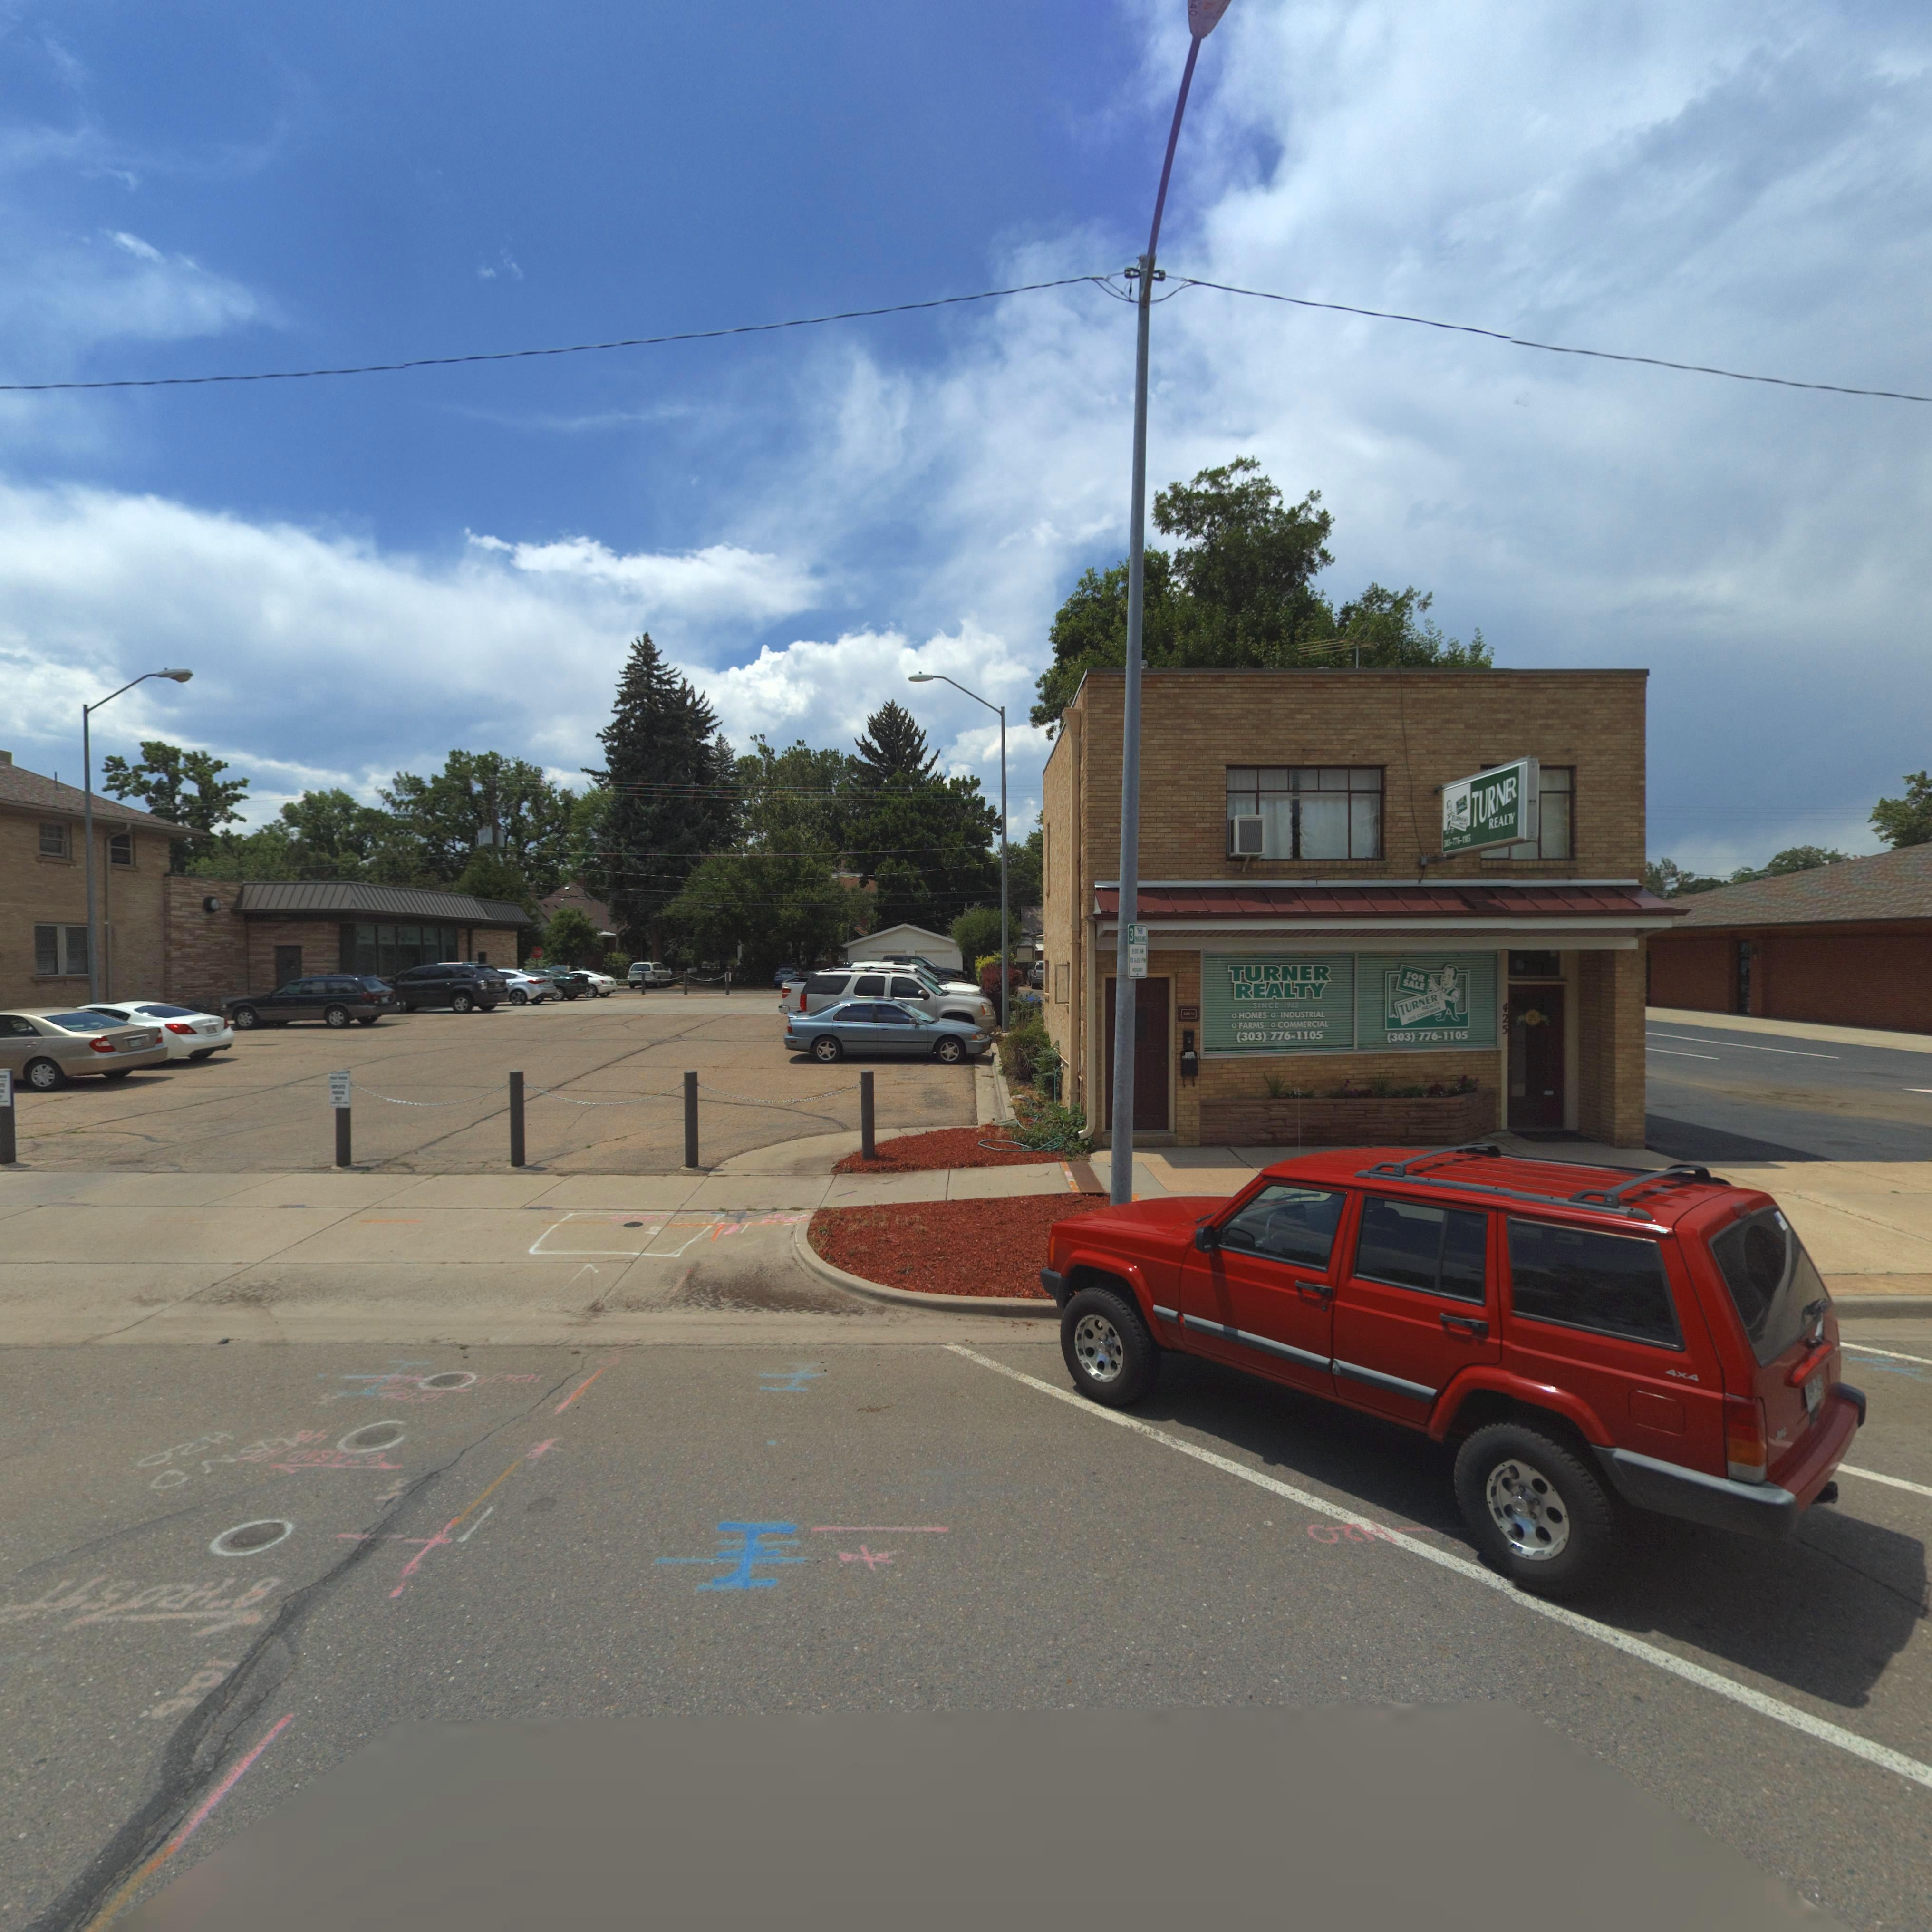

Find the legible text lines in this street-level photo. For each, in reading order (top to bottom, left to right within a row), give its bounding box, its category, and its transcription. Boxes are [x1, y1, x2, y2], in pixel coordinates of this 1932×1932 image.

[1471, 776, 1517, 828] BusinessName: TURNE*
[1451, 814, 1466, 822] BusinessName: TURNER
[1228, 965, 1329, 982] BusinessName: TURNER
[1235, 982, 1325, 999] BusinessName: REALTY
[1182, 1012, 1191, 1015] StreetNumber: 4**
[1398, 994, 1438, 1016] BusinessName: TURNER
[1417, 1006, 1441, 1018] StreetName: COFFMAN
[1421, 1000, 1440, 1011] BusinessName: R*ALTY
[1502, 1002, 1508, 1034] StreetNumber: 425